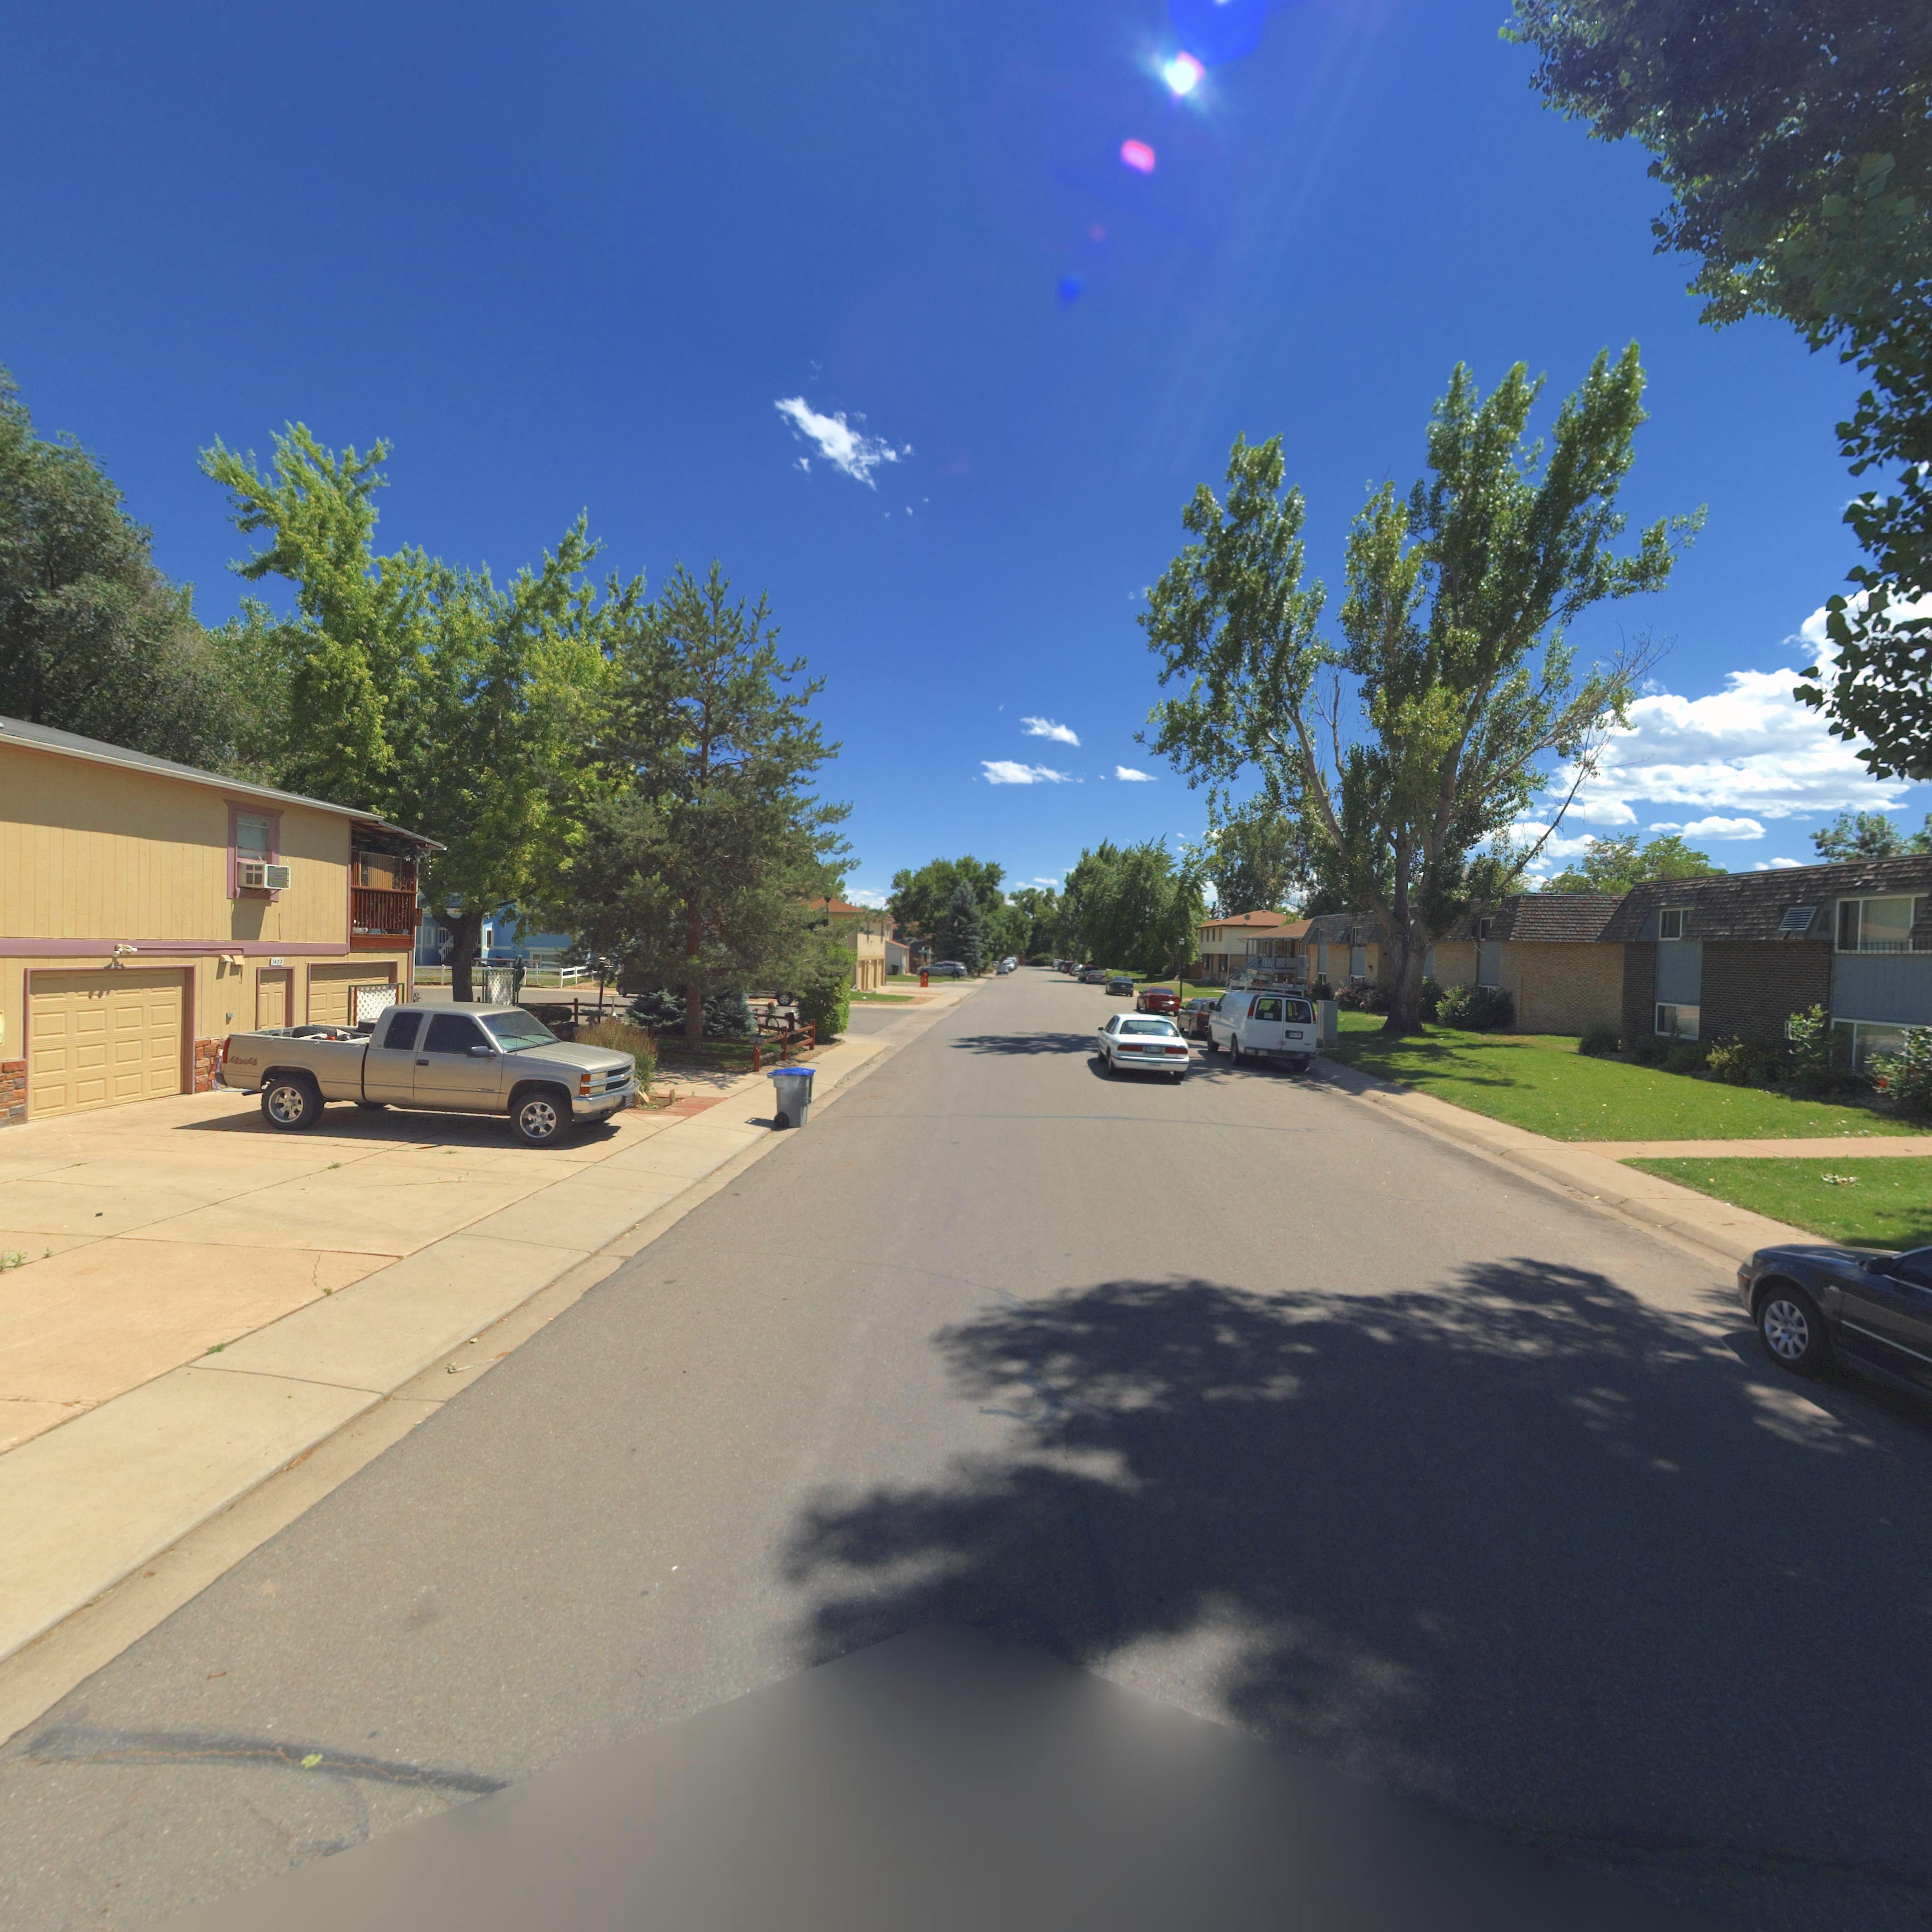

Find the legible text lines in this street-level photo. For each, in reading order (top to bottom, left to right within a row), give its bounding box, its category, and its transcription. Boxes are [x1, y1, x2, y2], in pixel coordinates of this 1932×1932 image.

[271, 958, 282, 965] StreetNumber: 1422